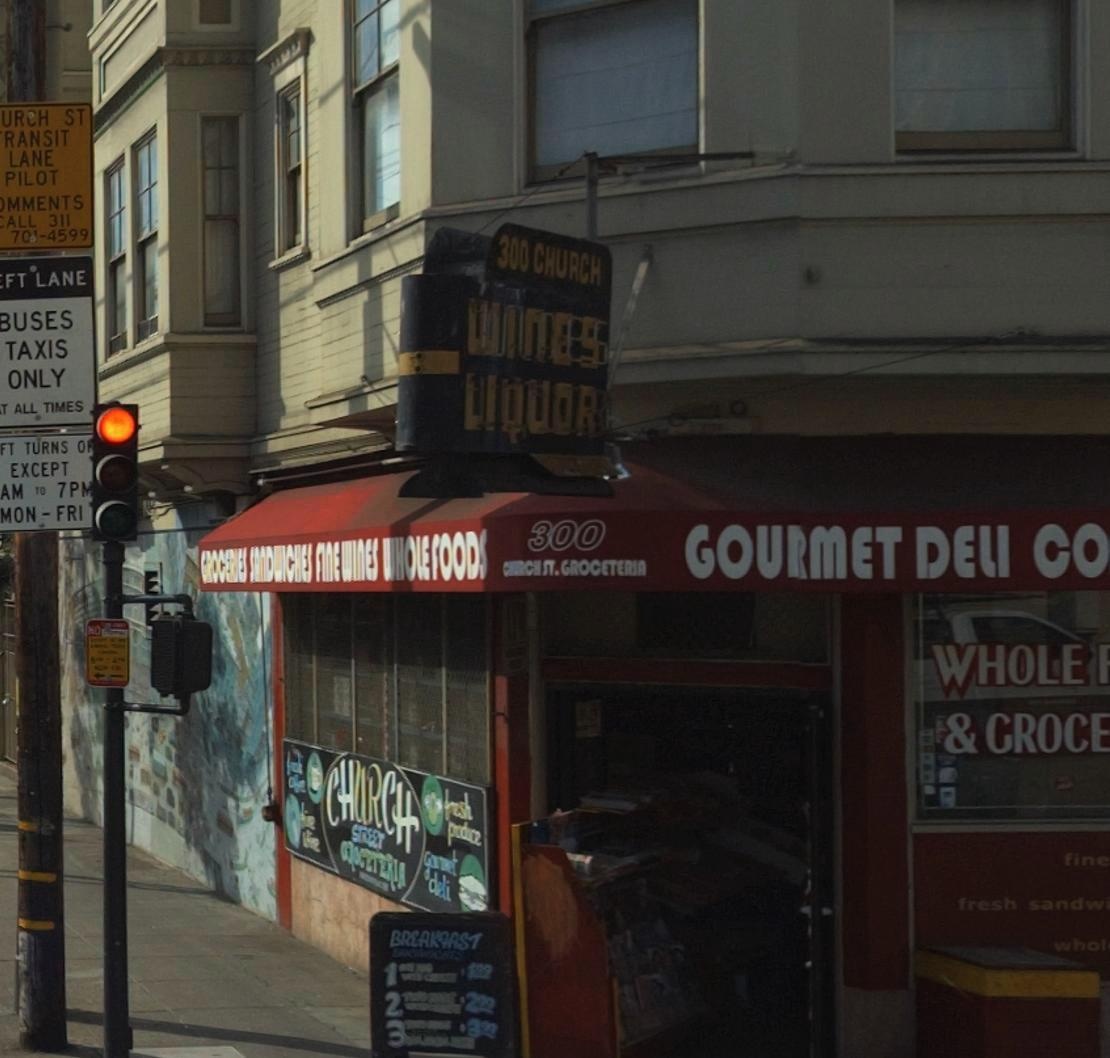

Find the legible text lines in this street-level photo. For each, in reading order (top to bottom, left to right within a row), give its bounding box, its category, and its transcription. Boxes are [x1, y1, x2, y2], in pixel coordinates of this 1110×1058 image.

[0, 106, 88, 130] None: UR*H ST
[2, 126, 73, 151] None: RANSIT
[6, 146, 57, 171] None: LANE
[2, 167, 62, 189] None: PILOT
[5, 191, 86, 215] None: MMENTS
[4, 210, 73, 231] None: ALL 311
[9, 225, 91, 246] None: 70*-4599
[494, 230, 532, 276] StreetNumber: 300
[531, 237, 605, 290] StreetName: CHURCH
[2, 267, 91, 292] None: FT LANE
[10, 306, 76, 335] None: USES
[462, 290, 604, 374] None: WINES
[2, 336, 72, 363] None: TAXIS
[5, 364, 70, 393] None: ONLY
[0, 397, 86, 418] None: T ALL TIMES
[459, 366, 601, 448] None: LIQUOR
[0, 437, 88, 458] None: FT TURNS O
[8, 458, 72, 481] None: EXCEPT
[0, 478, 96, 502] None: AM TO 7PM
[0, 502, 86, 526] None: MON - FRI
[521, 517, 612, 554] StreetNumber: 300
[198, 524, 493, 587] None: GROCERIES SANDWICHES FINE WINES WHOLE FOODS
[500, 556, 561, 580] StreetName: C***CH ST.
[558, 555, 650, 581] None: GROCETERIA
[680, 518, 1109, 585] None: GOU*MET DELI CO
[86, 624, 103, 637] None: NO
[923, 637, 1093, 702] None: WHOLE
[981, 708, 1094, 759] None: GROC
[322, 754, 423, 859] StreetName: CHURCH
[348, 818, 389, 856] StreetName: STREET
[1062, 848, 1110, 870] None: fine
[955, 893, 1108, 915] None: fresh sandw
[384, 925, 490, 953] None: BREAKFAST
[1049, 934, 1109, 955] None: whol
[381, 956, 408, 1051] None: 132